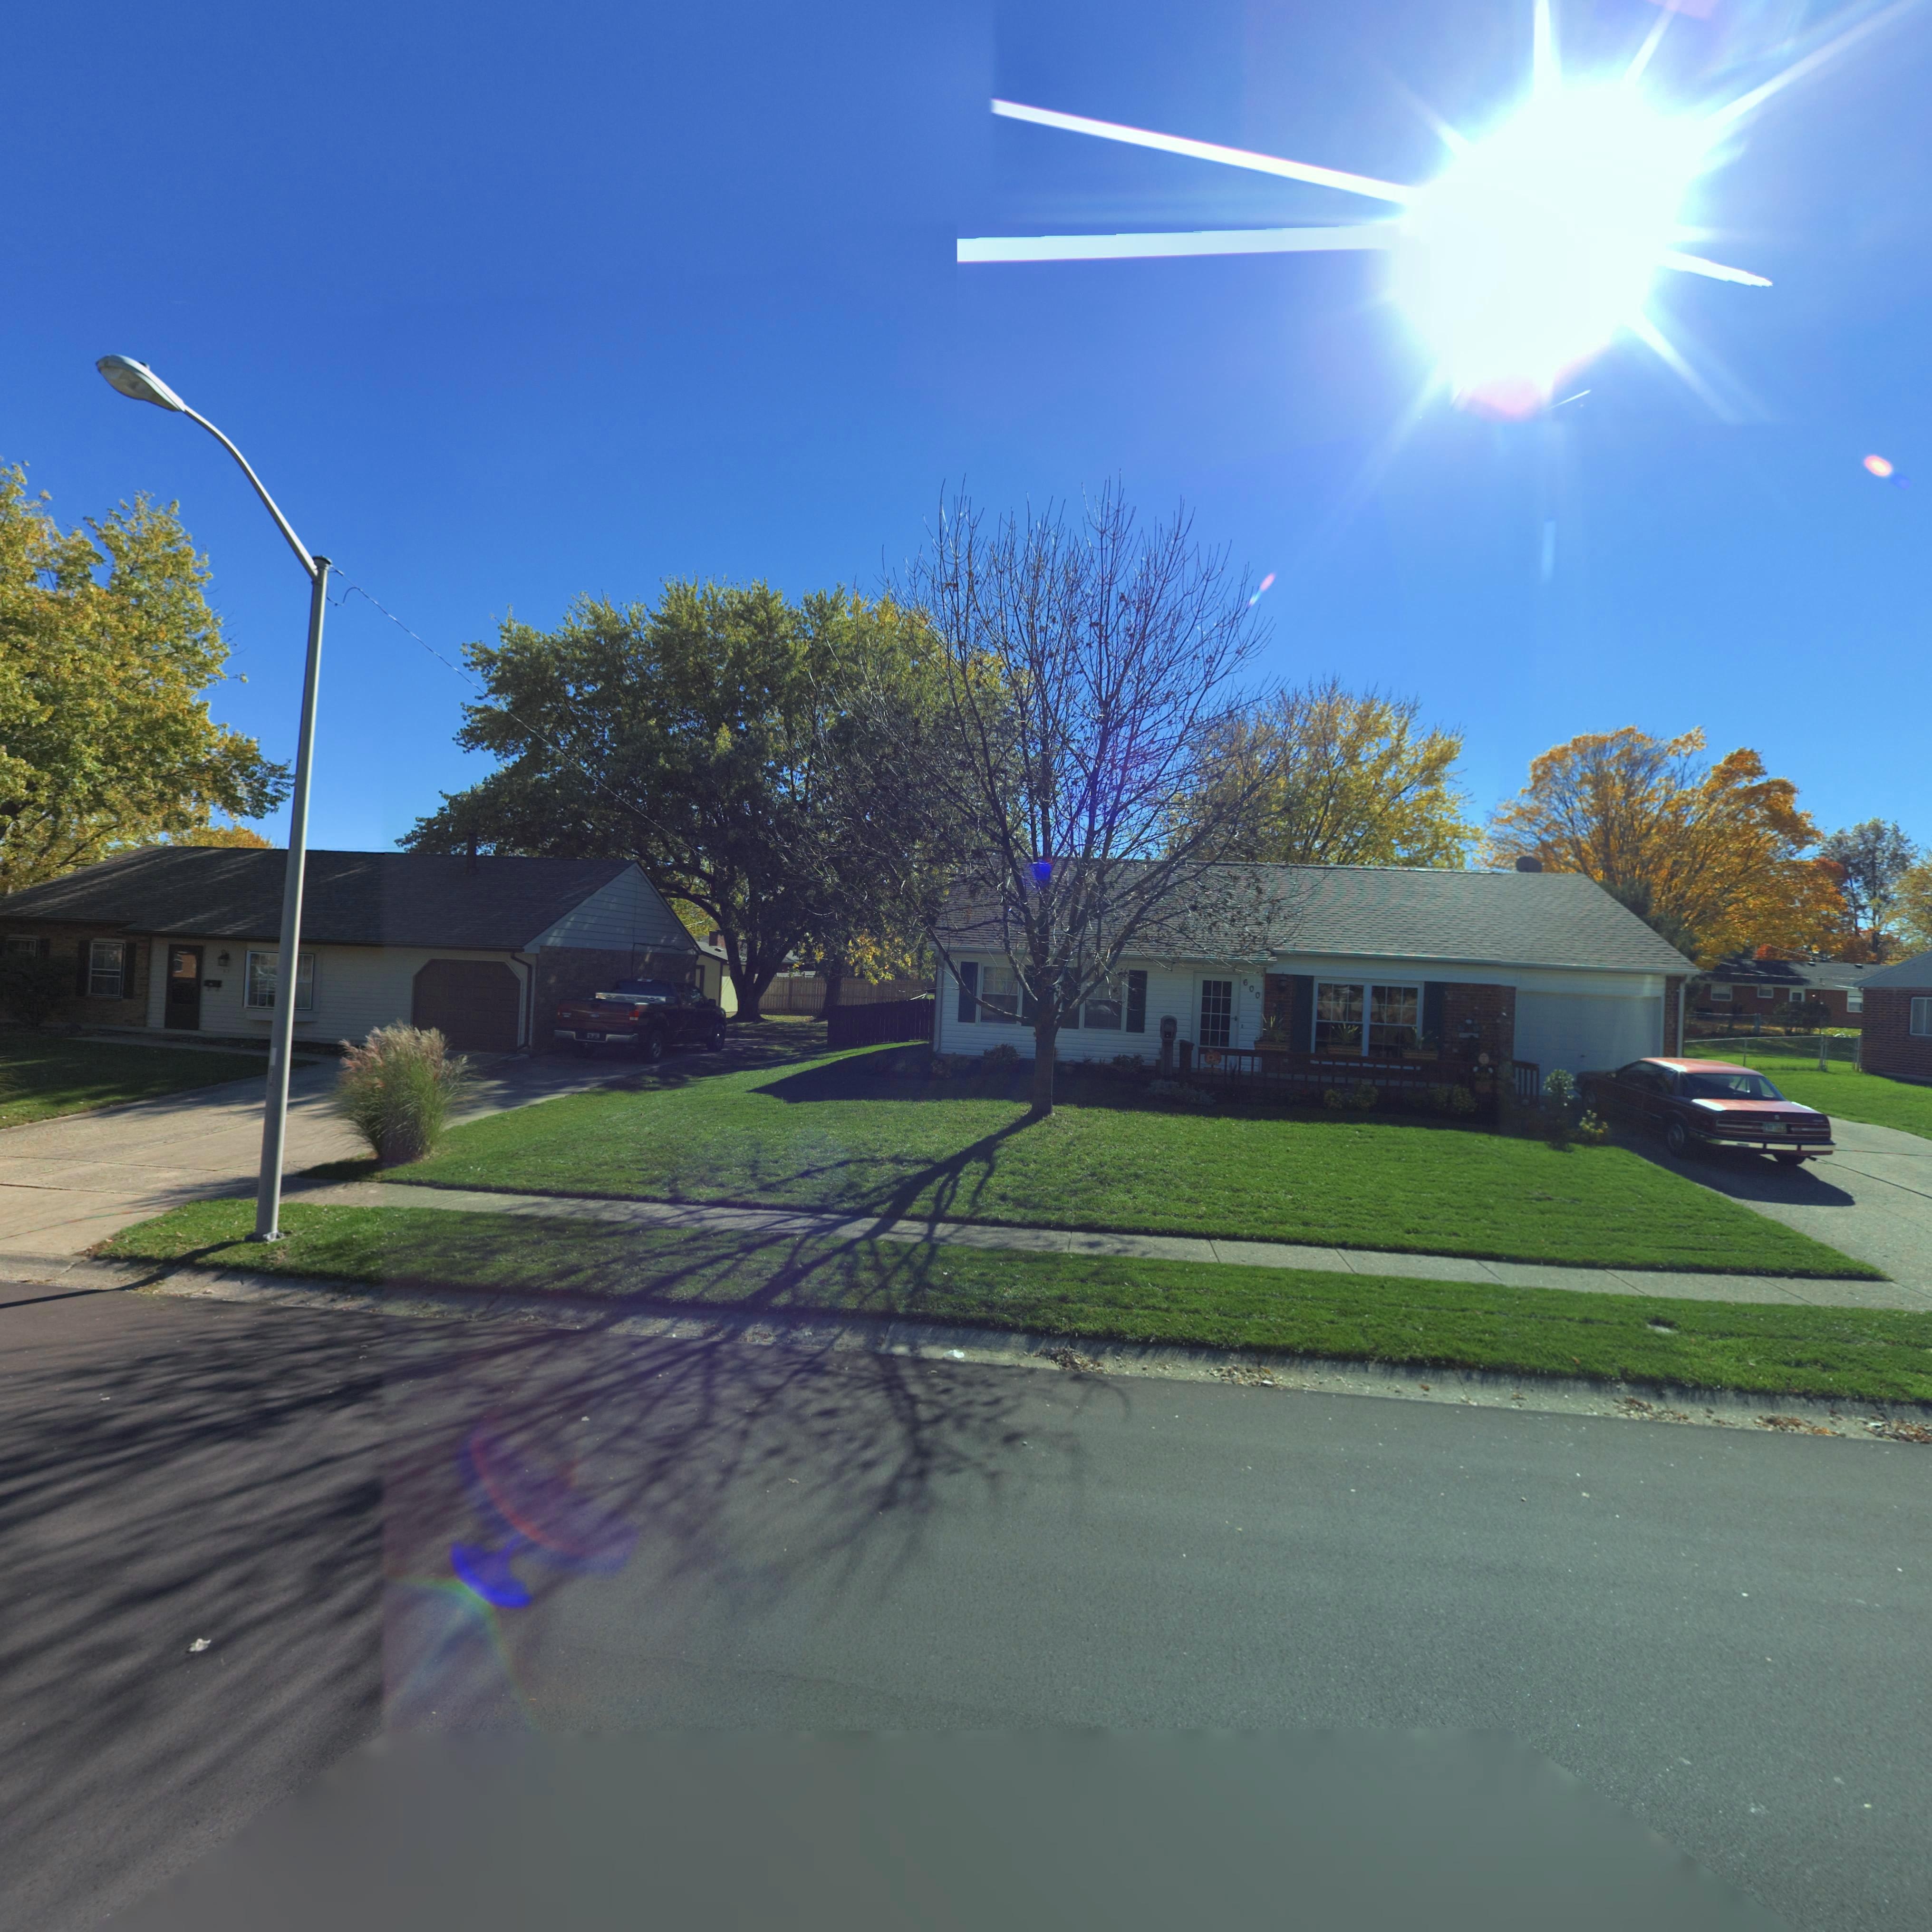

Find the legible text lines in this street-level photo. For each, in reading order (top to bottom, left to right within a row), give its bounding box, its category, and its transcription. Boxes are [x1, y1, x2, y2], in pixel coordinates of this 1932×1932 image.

[1243, 978, 1260, 999] StreetNumber: 600